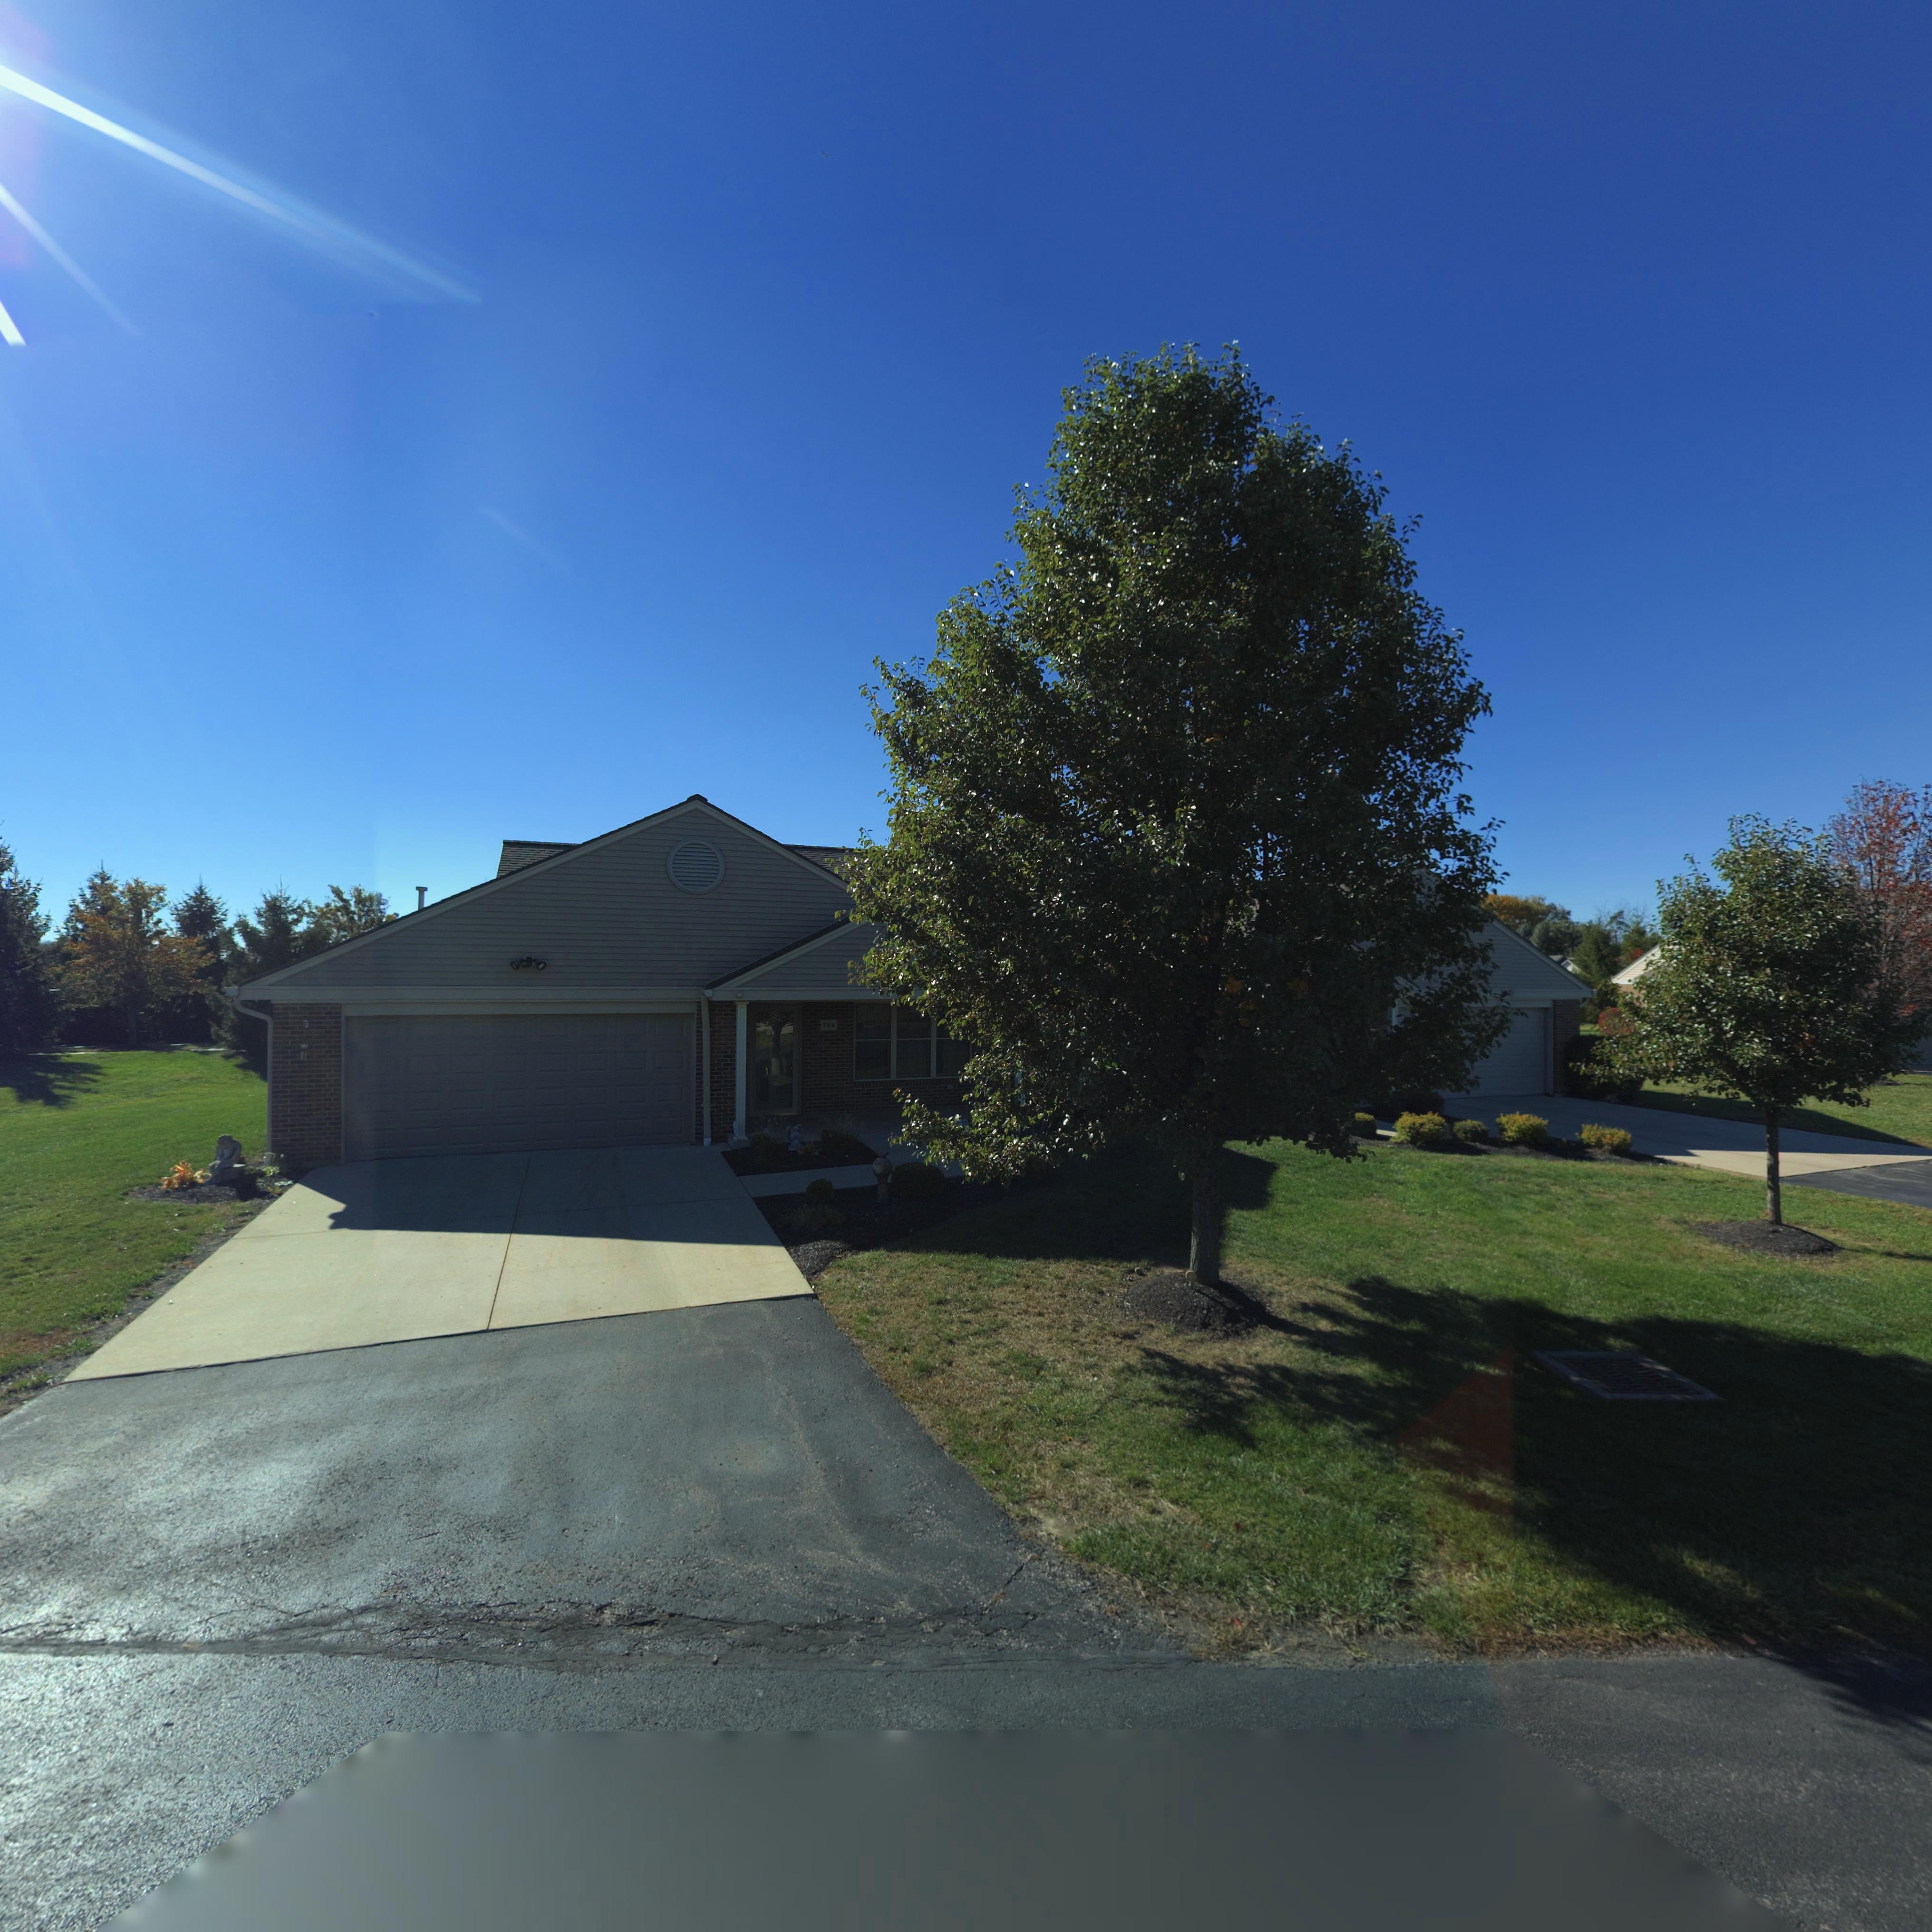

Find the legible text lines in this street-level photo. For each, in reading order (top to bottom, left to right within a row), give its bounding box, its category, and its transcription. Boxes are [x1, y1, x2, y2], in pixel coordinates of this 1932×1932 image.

[822, 1022, 835, 1028] StreetNumber: 724